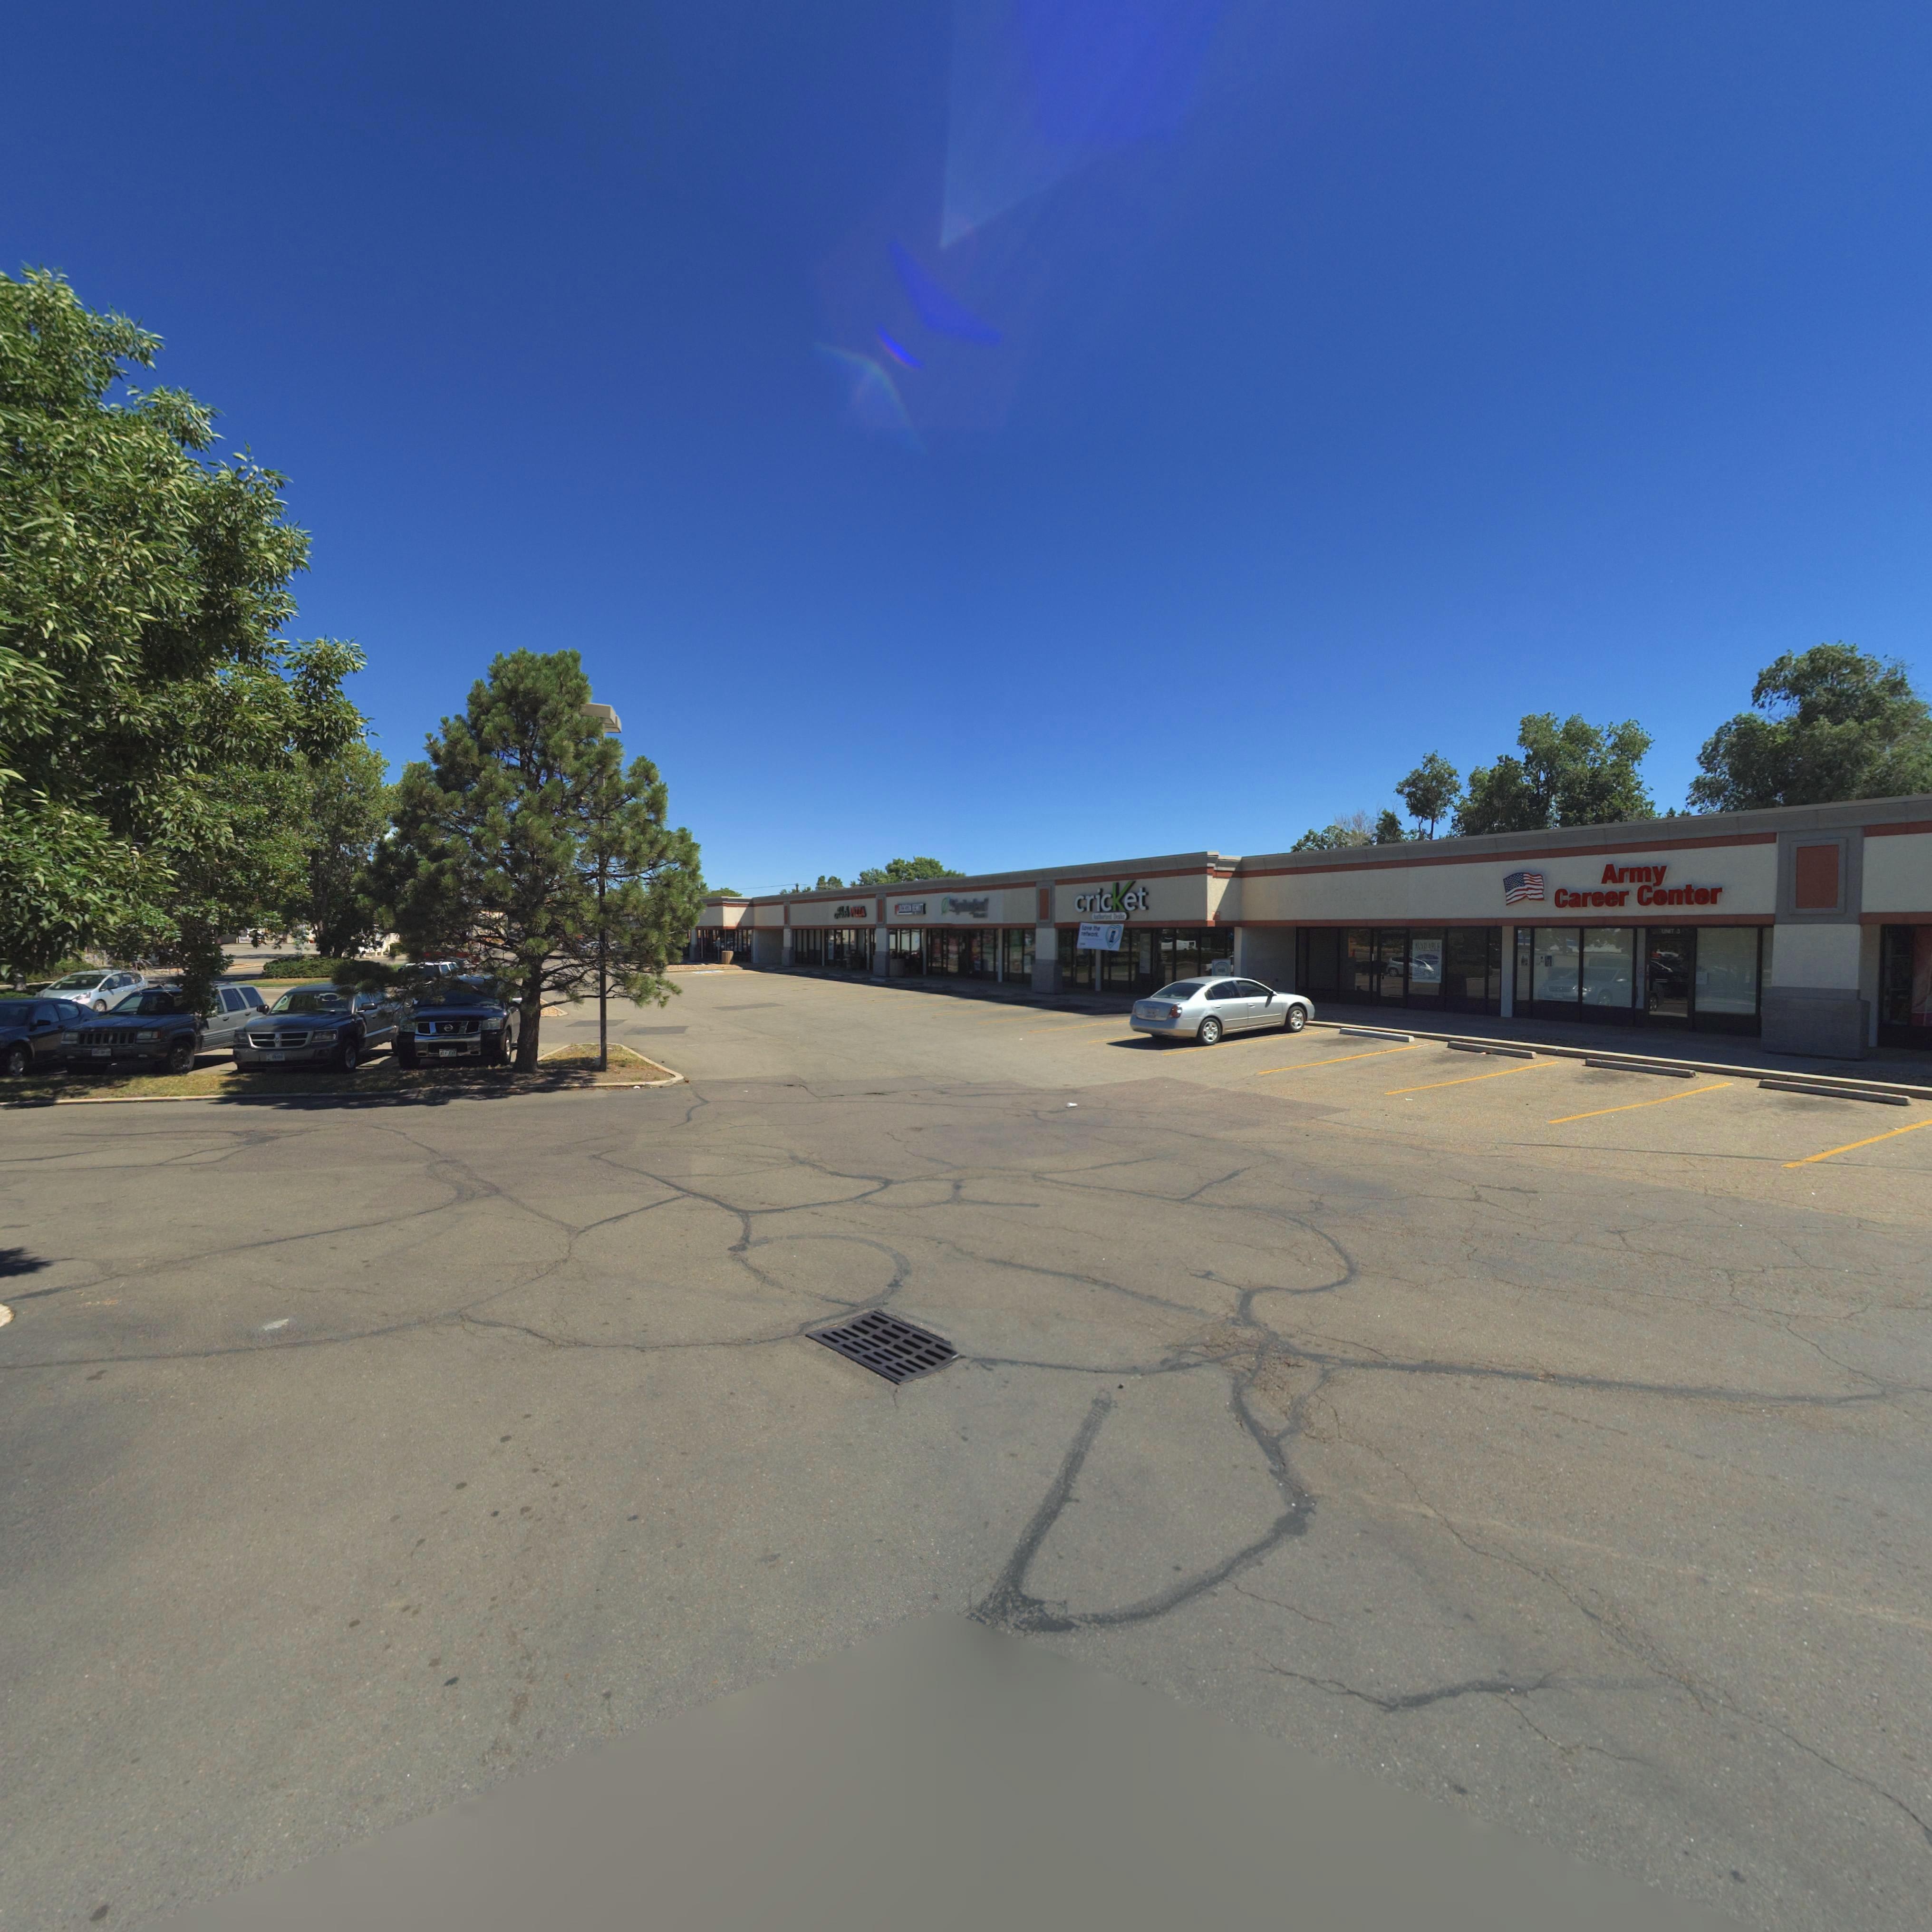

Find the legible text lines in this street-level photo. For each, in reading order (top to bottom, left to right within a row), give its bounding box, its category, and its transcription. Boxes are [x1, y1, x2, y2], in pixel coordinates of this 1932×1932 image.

[1600, 863, 1667, 887] BusinessName: Army
[1074, 880, 1147, 912] BusinessName: cricket
[1554, 884, 1722, 908] BusinessName: Career Center
[832, 906, 867, 918] BusinessName: Abo's Pizza
[898, 903, 924, 912] BusinessName: JACKSON HEWITT
[948, 897, 990, 916] BusinessName: *Sp*i*gle*f
[1661, 928, 1681, 934] SecondaryUnitDesignator: UNIT #